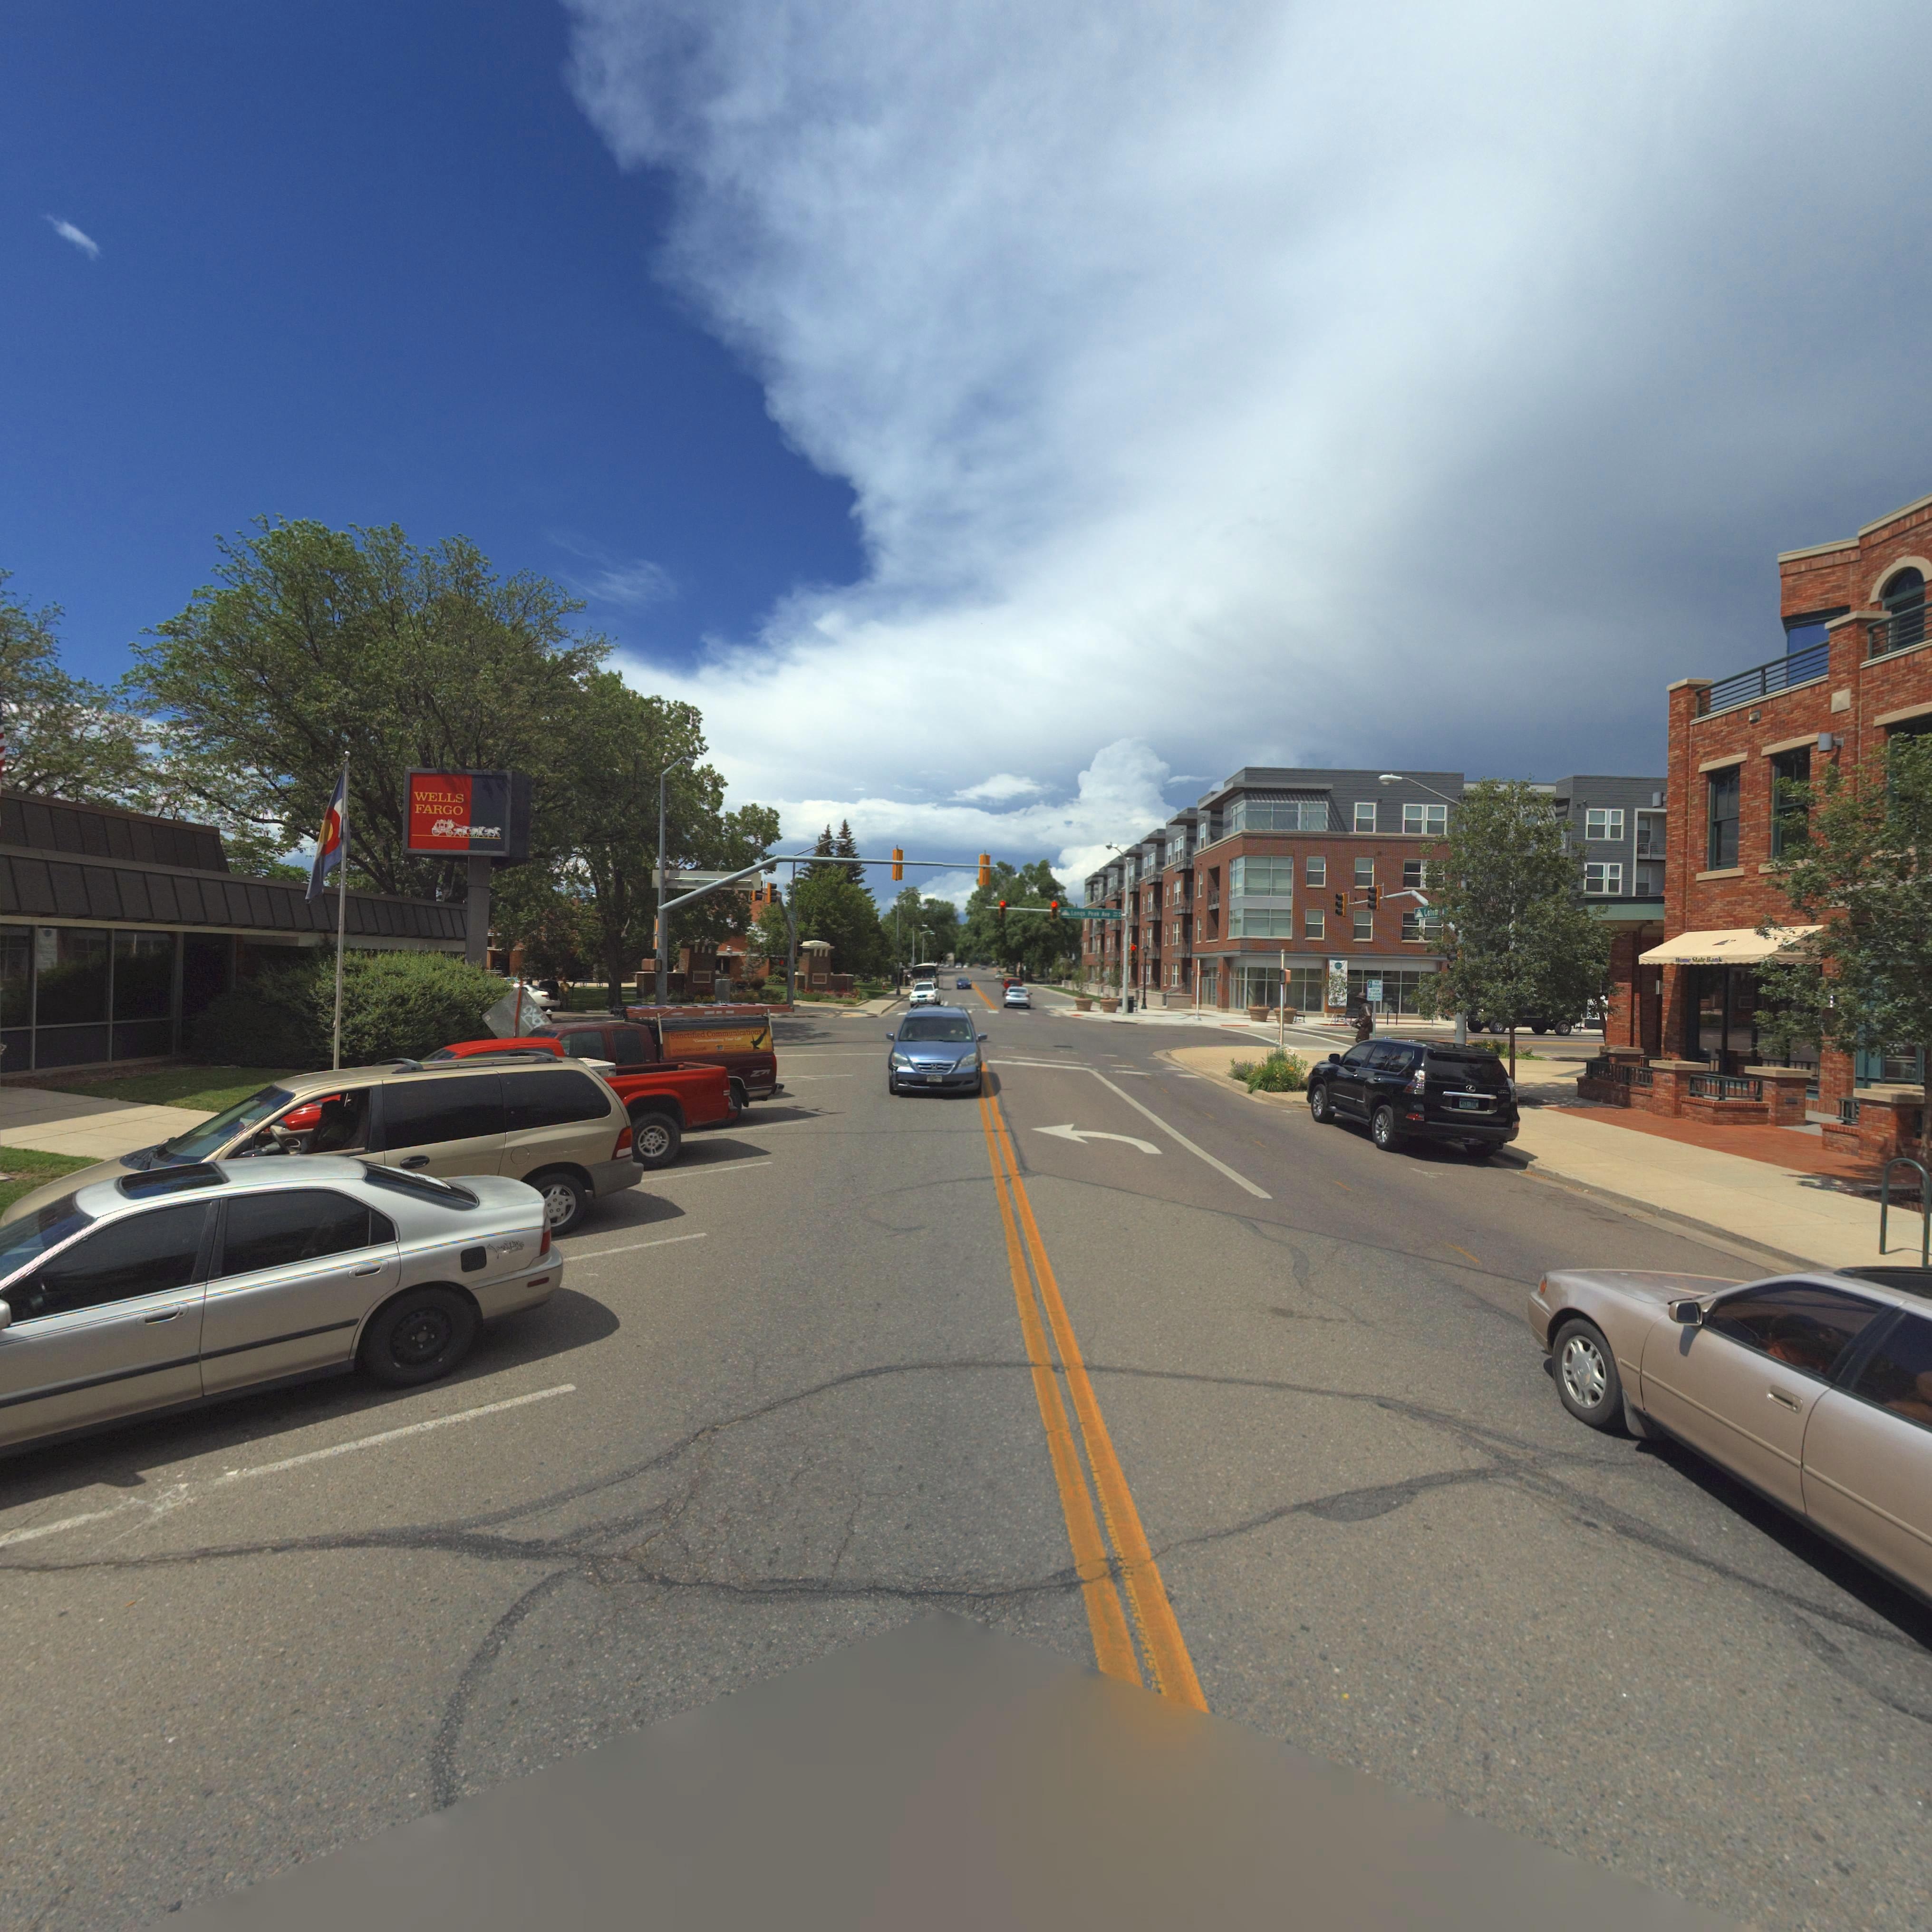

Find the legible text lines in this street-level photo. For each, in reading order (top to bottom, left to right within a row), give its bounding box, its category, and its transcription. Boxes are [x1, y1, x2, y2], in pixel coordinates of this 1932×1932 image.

[413, 791, 464, 803] BusinessName: WELLS
[414, 803, 464, 816] BusinessName: FARGO
[1071, 909, 1111, 918] StreetName: Longs Peak Ave
[1423, 908, 1445, 917] StreetName: Co**ma*
[1675, 956, 1723, 963] BusinessName: Ho*e St**e Bank